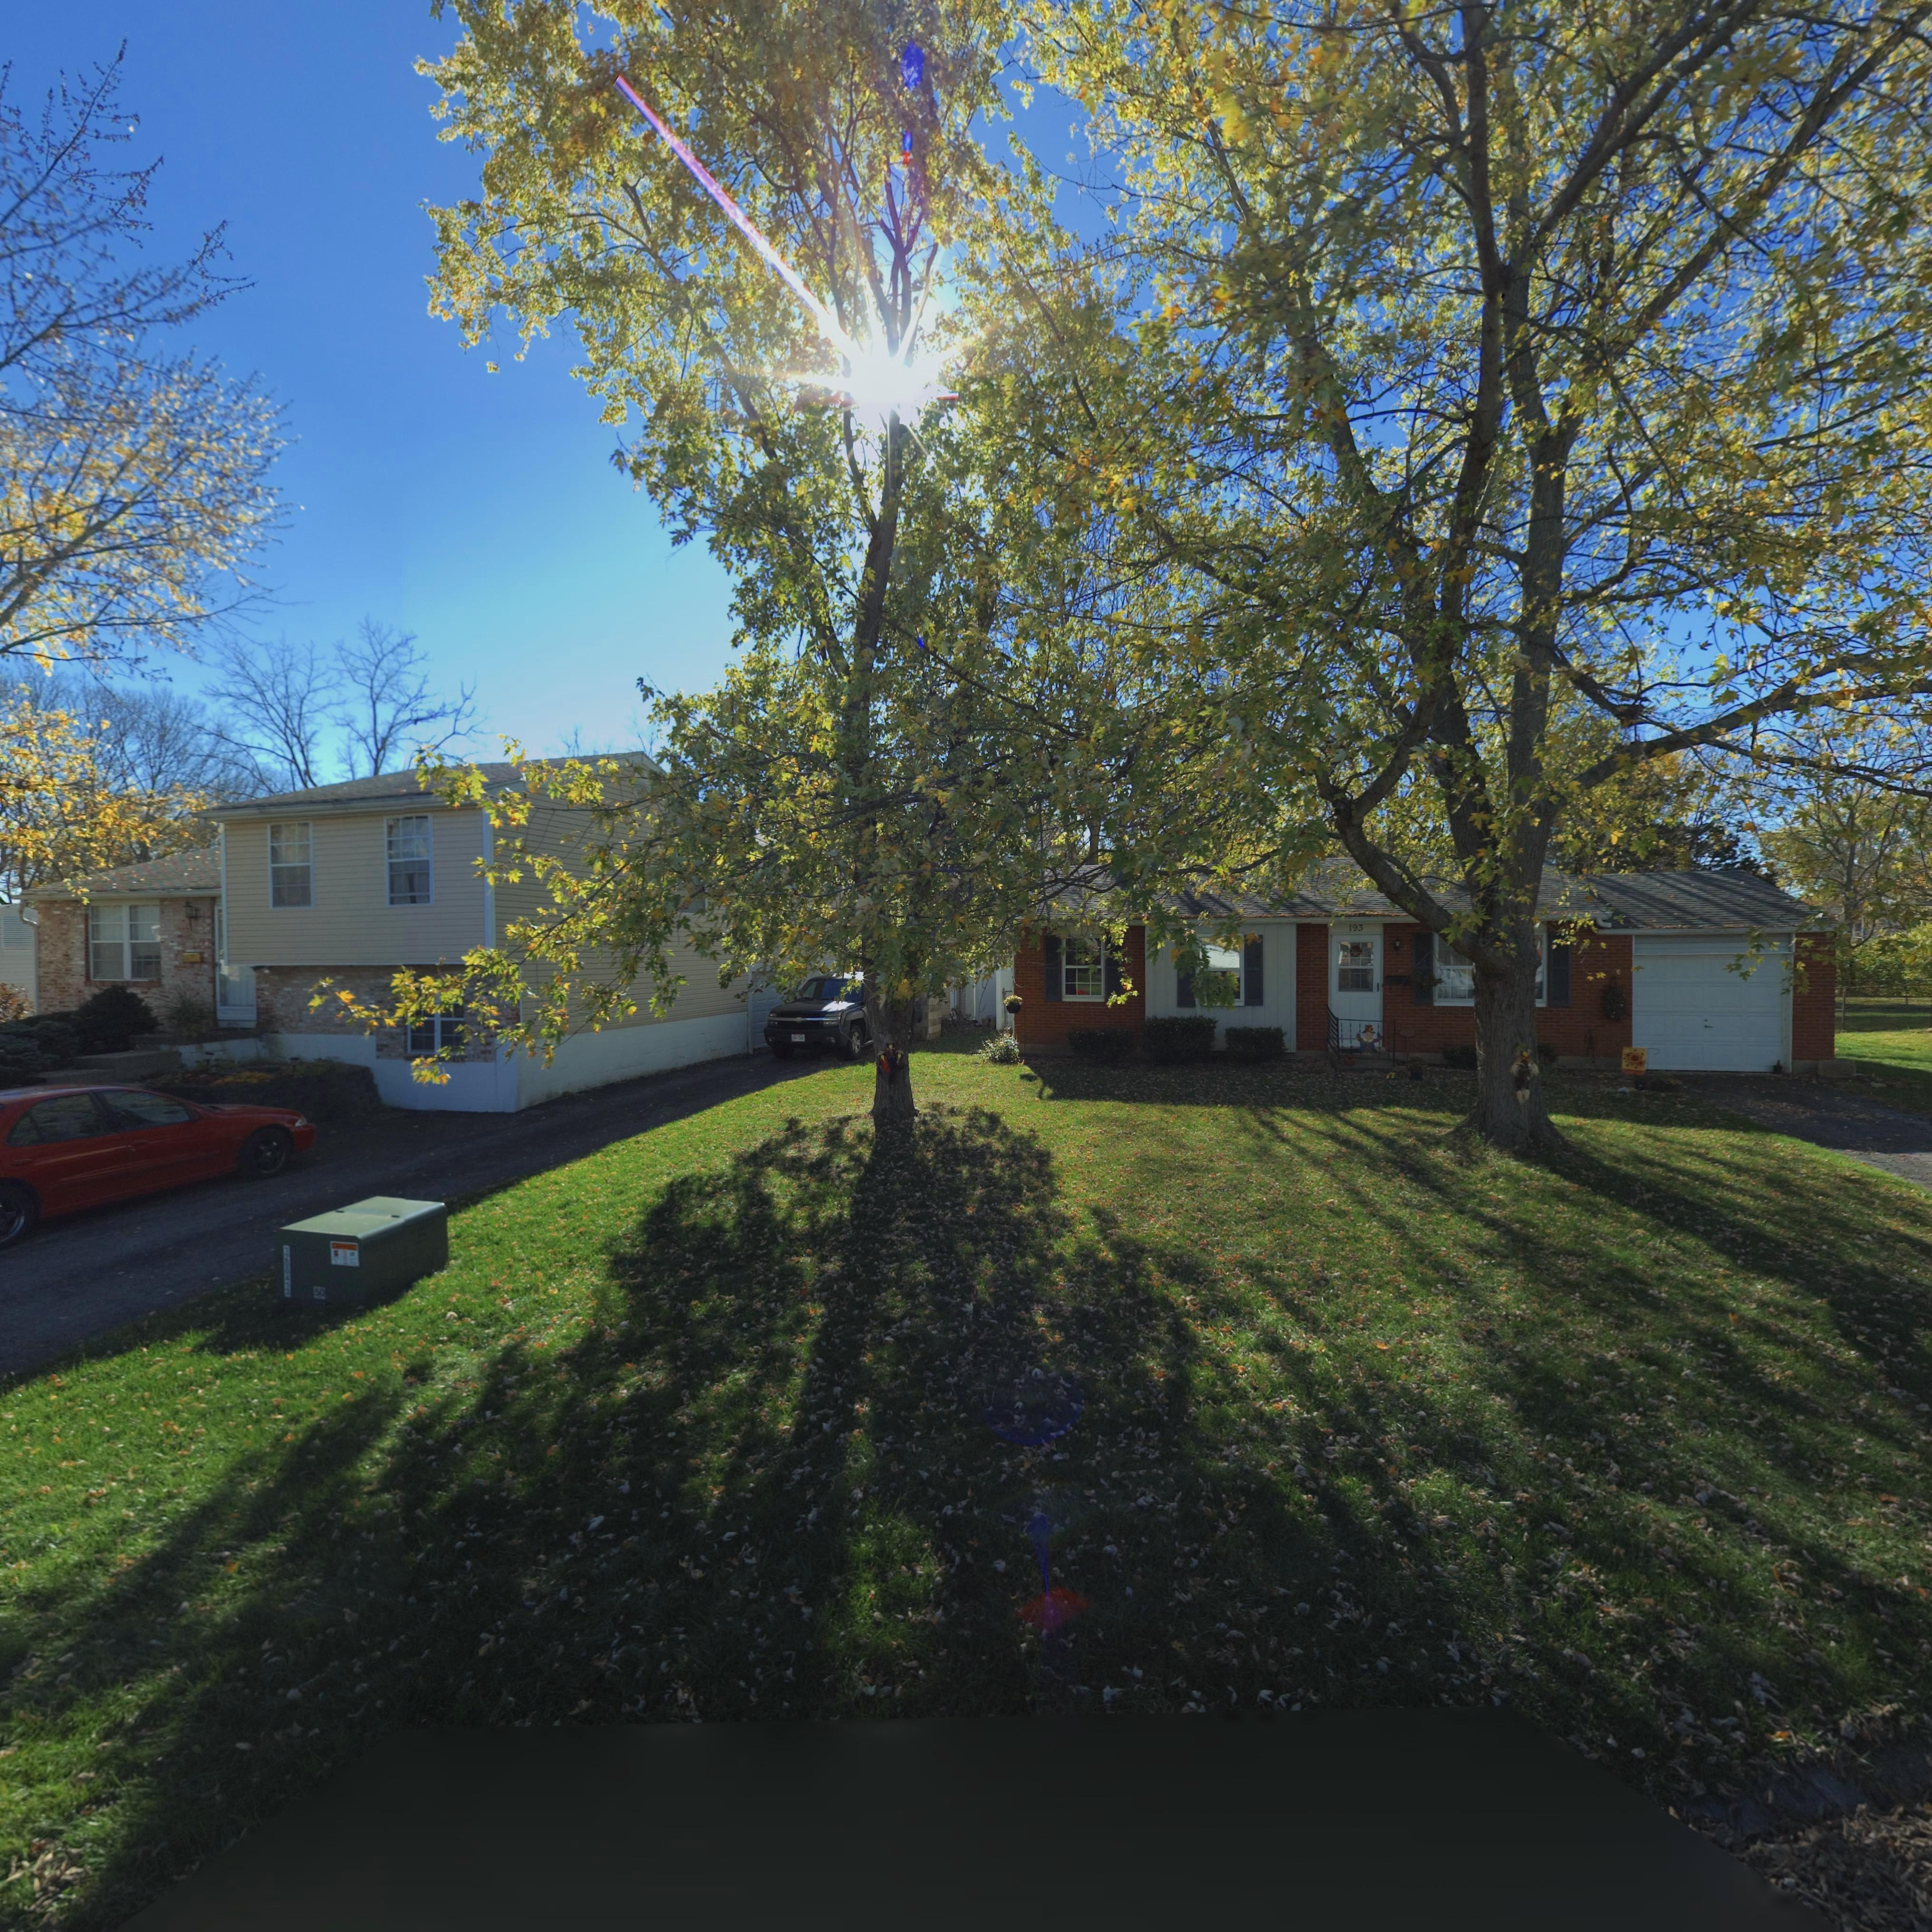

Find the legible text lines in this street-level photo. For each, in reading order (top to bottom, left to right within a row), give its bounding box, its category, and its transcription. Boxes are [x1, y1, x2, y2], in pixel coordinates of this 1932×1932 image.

[1348, 923, 1364, 932] StreetNumber: 193